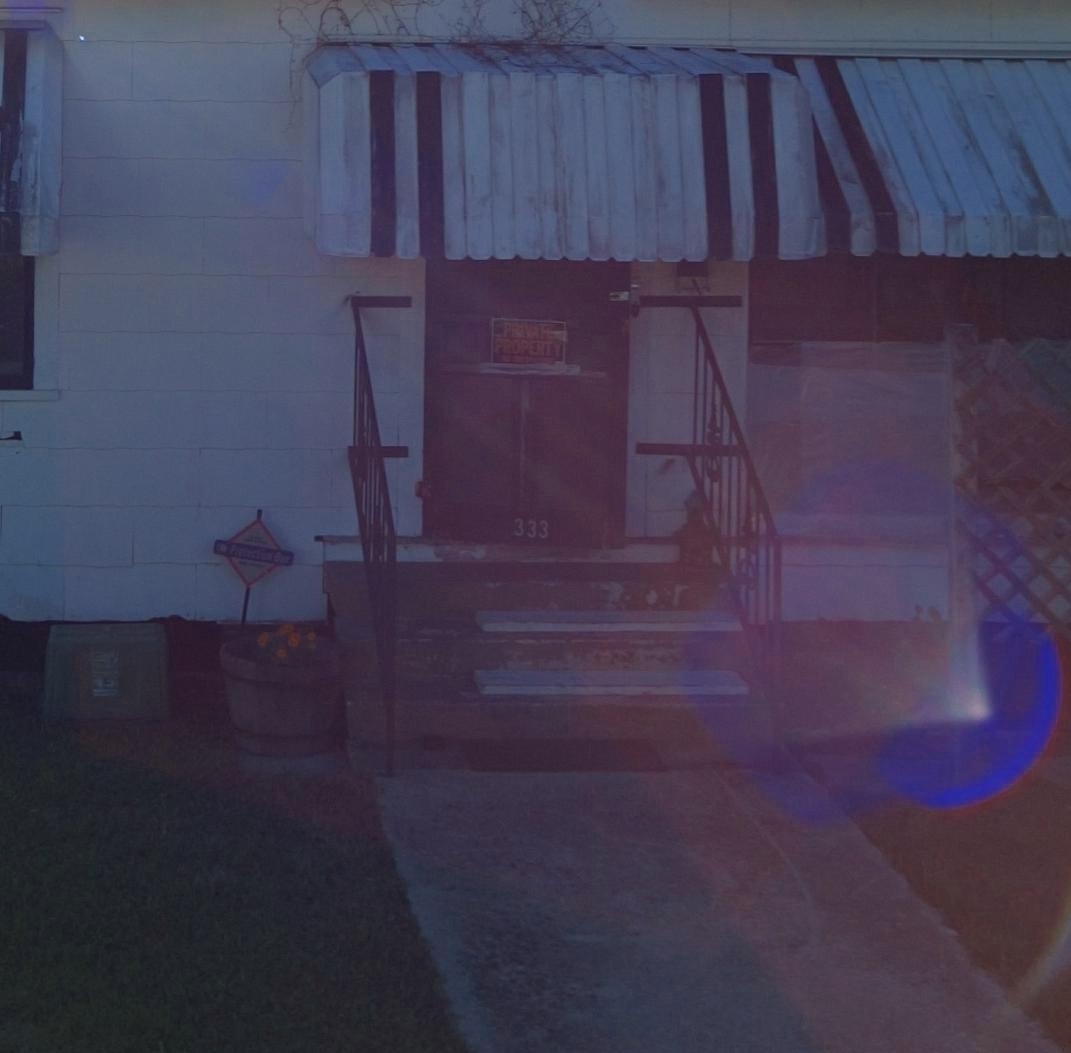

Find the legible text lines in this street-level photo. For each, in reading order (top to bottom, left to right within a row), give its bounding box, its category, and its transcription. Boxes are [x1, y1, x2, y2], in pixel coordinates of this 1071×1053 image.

[500, 317, 558, 342] None: PRIVATE
[492, 335, 566, 360] None: PROPERTY
[511, 514, 551, 542] StreetNumber: 333